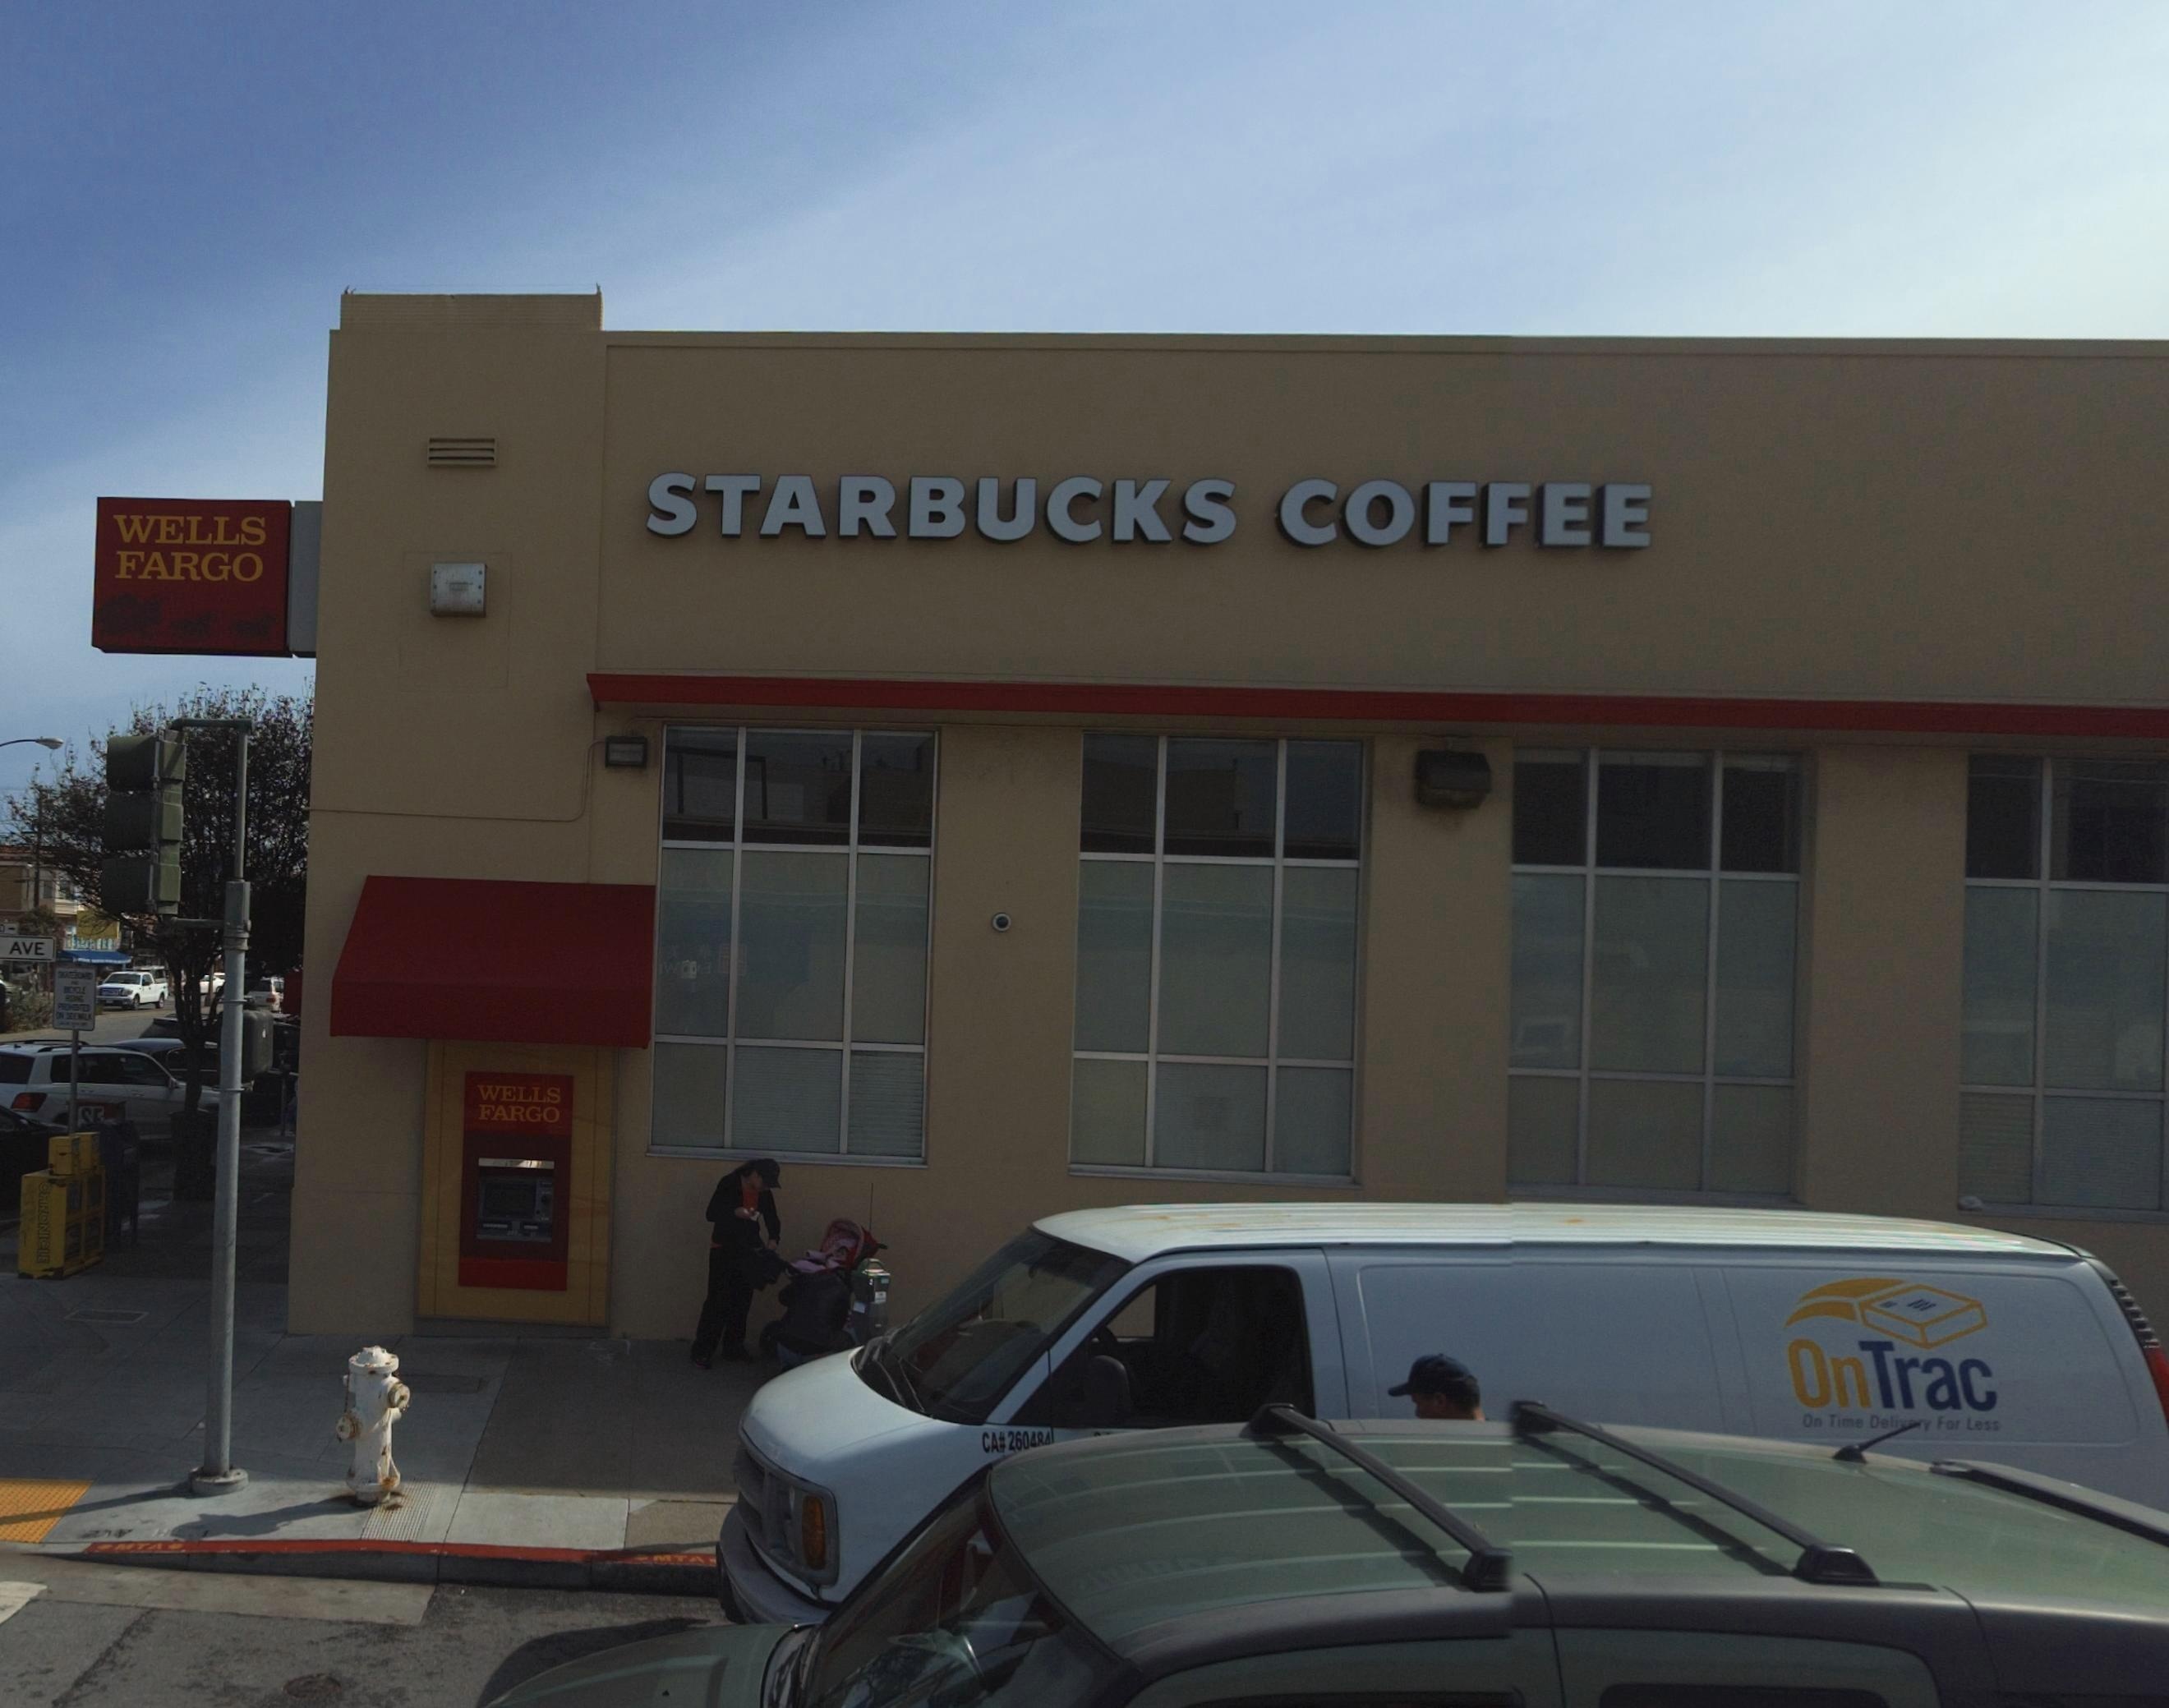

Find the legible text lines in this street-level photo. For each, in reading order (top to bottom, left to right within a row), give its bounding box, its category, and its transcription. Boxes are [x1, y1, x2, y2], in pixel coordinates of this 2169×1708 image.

[637, 467, 1656, 555] BusinessName: STARBUCKS COFFEE
[108, 513, 268, 549] BusinessName: WELLS
[112, 549, 267, 584] BusinessName: FARGO
[3, 937, 48, 957] None: AVE
[56, 1001, 91, 1013] None: PROHIBITED
[472, 1081, 564, 1107] BusinessName: WELLS
[472, 1101, 564, 1126] BusinessName: FARGO
[1775, 1332, 2006, 1418] None: OnTrac
[1794, 1406, 2005, 1435] None: On Time Delivery For Less
[977, 1426, 1031, 1457] None: CA# 260